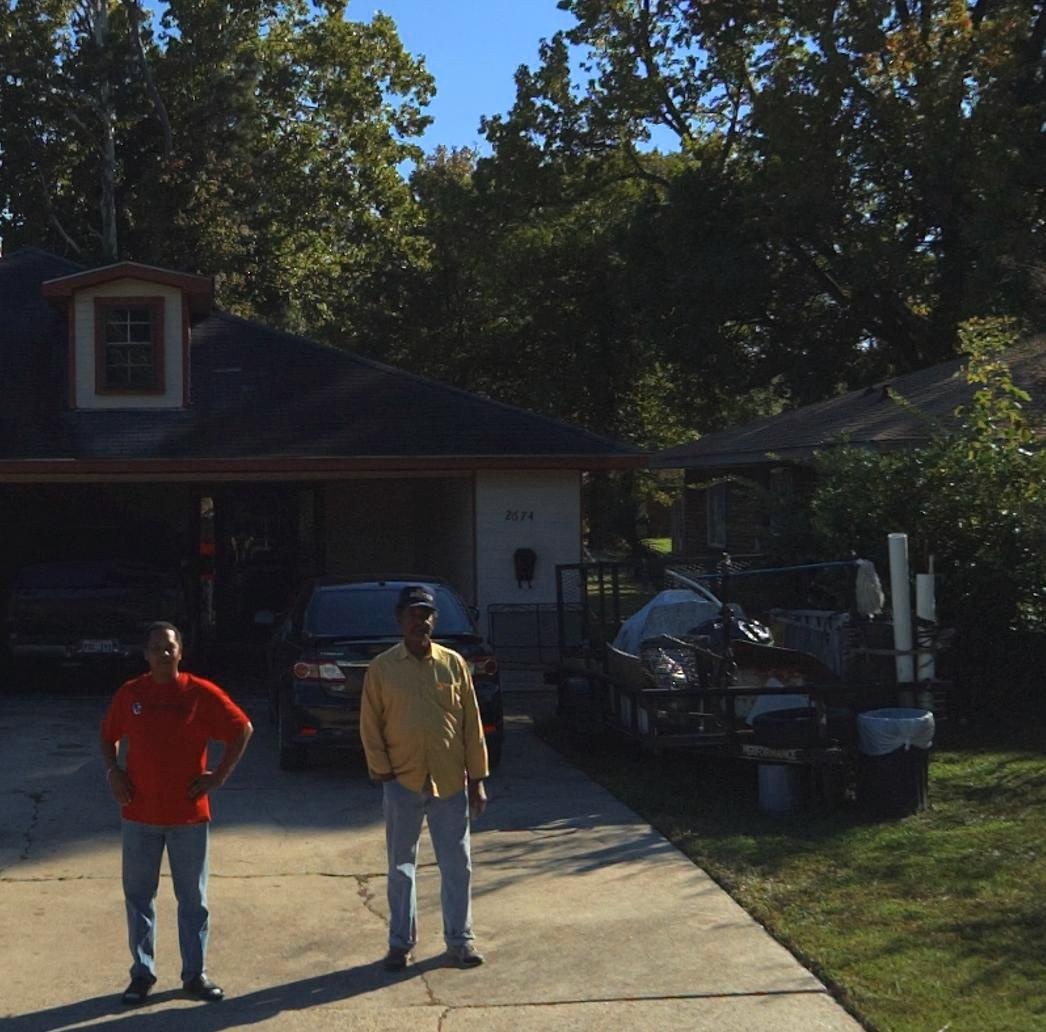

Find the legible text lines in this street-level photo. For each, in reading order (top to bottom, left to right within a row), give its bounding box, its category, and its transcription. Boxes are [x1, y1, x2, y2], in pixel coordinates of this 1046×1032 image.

[504, 508, 535, 522] StreetNumber: 2674